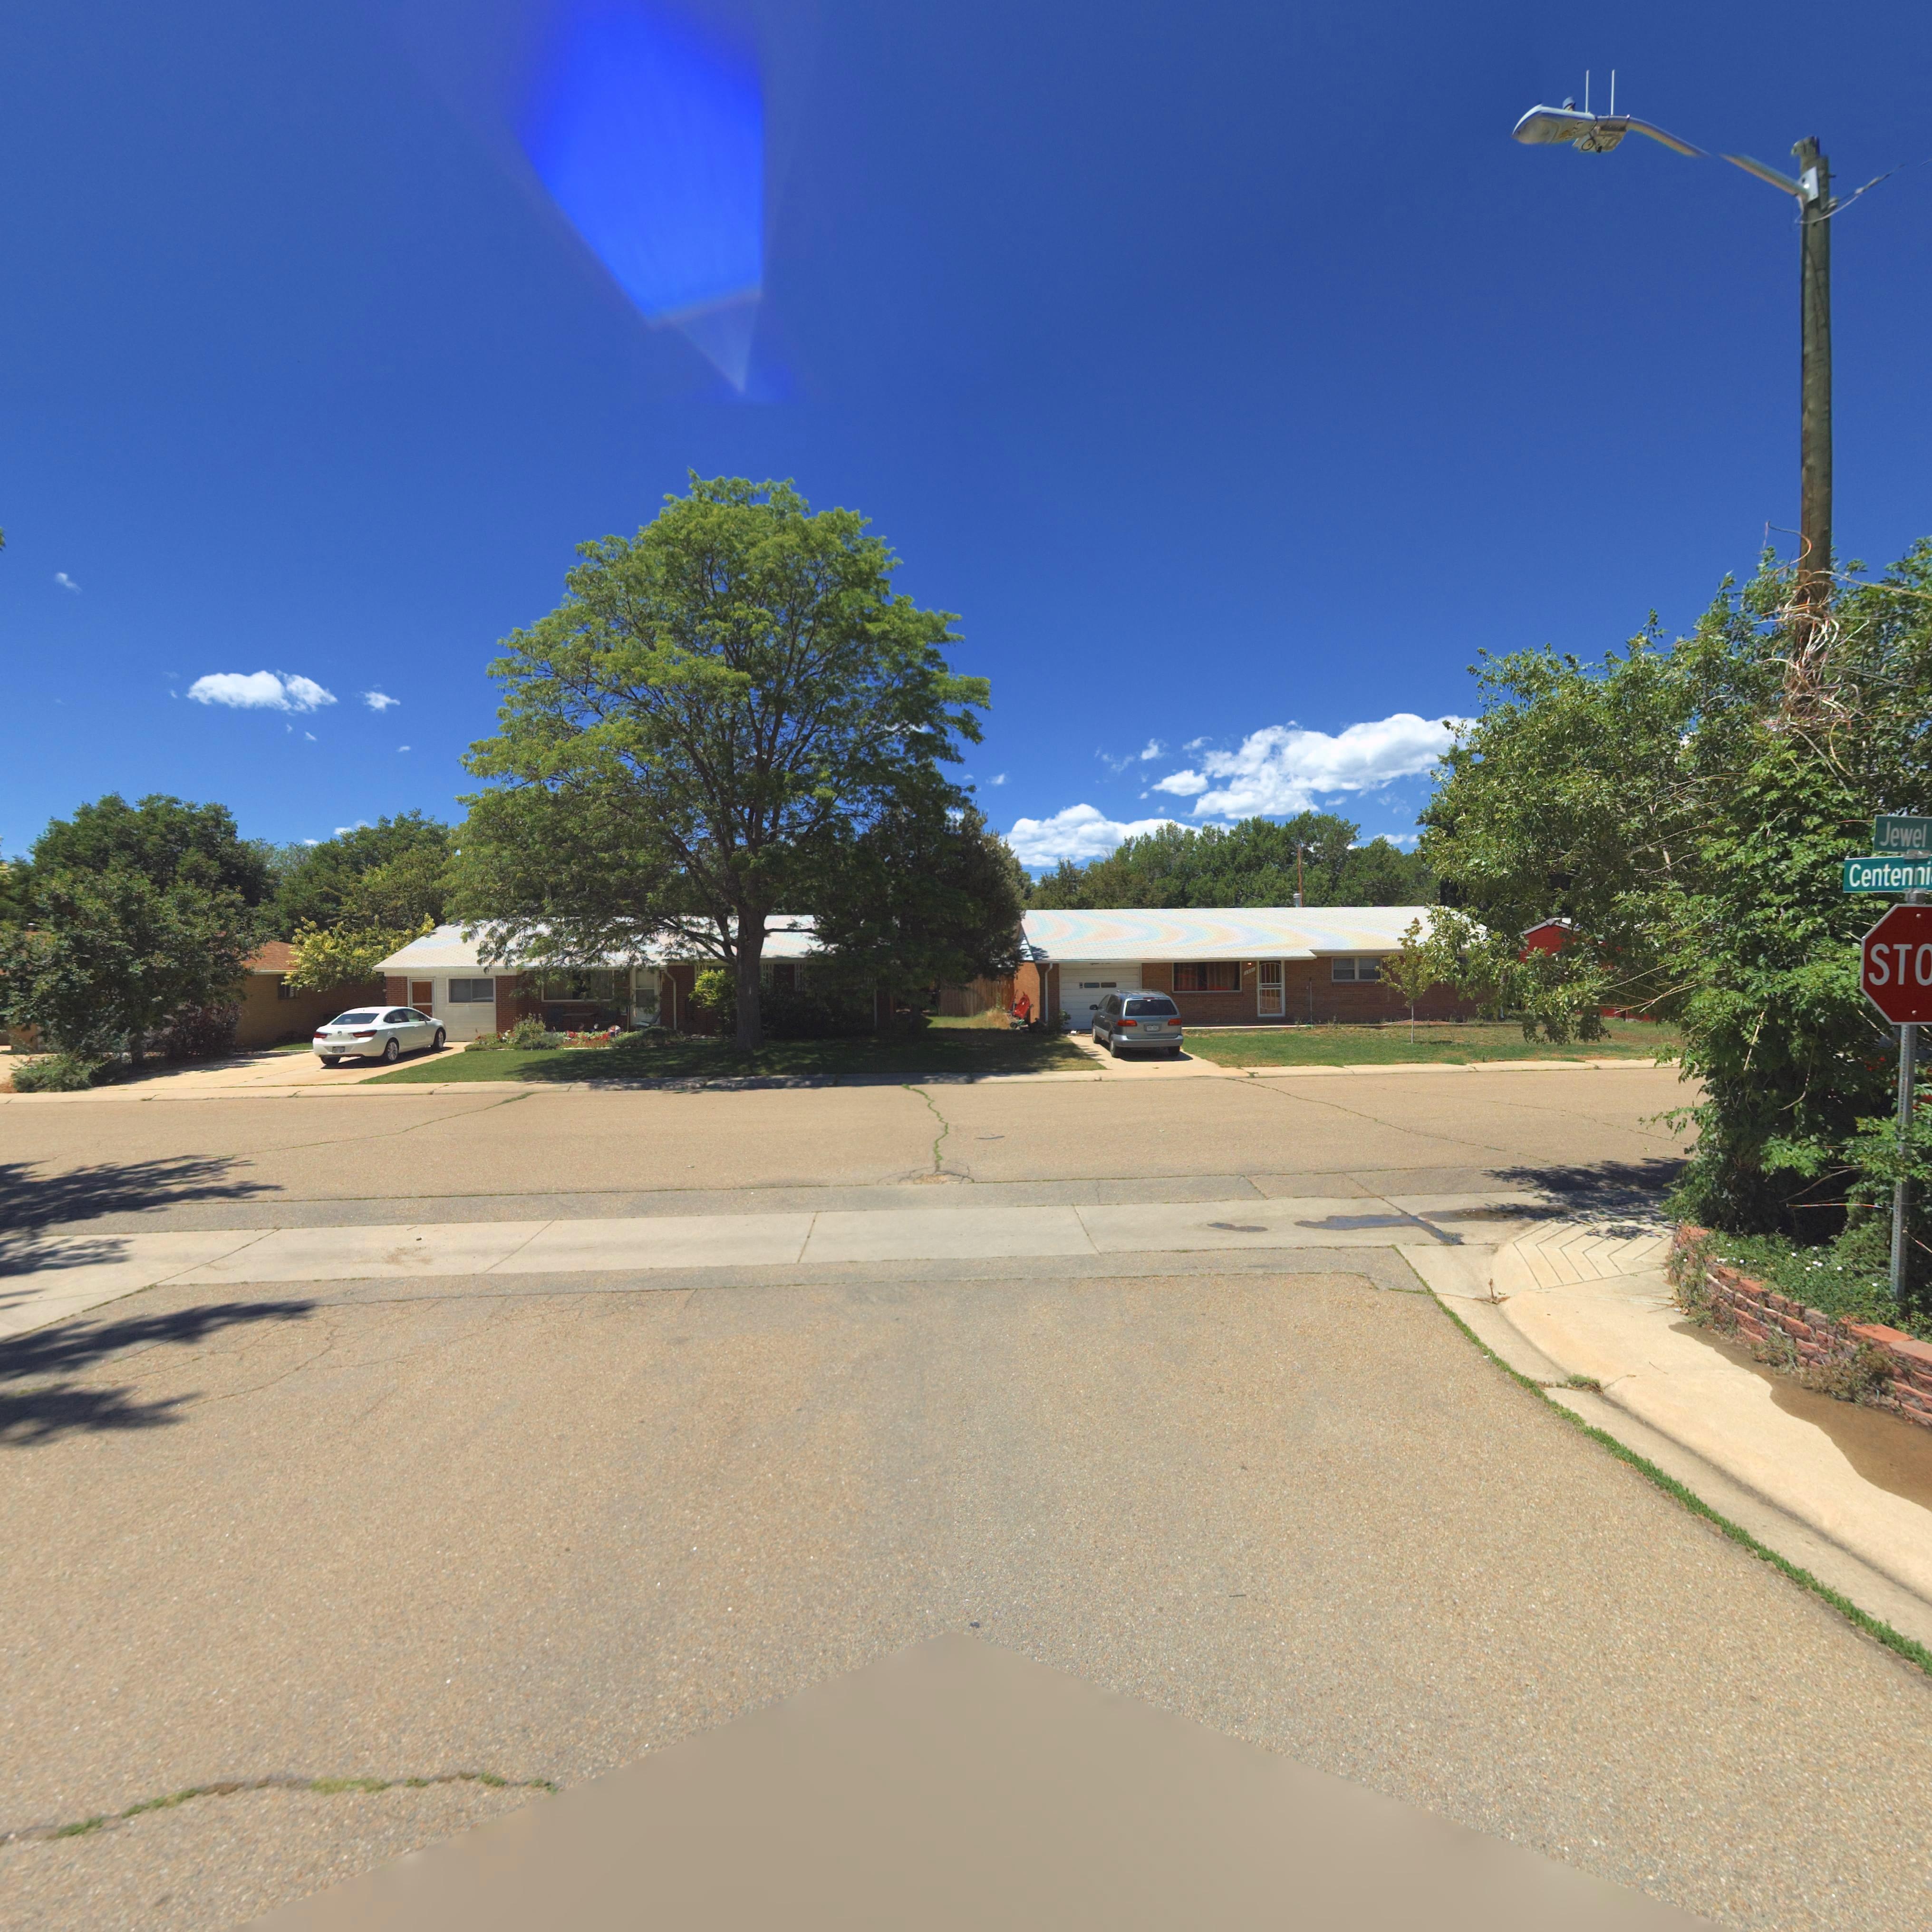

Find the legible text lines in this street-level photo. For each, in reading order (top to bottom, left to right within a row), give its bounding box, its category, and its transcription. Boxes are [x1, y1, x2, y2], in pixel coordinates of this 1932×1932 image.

[1878, 821, 1927, 848] StreetName: Jewel
[1848, 860, 1931, 887] StreetName: Centenni
[1245, 967, 1254, 975] StreetNumber: 1*0*